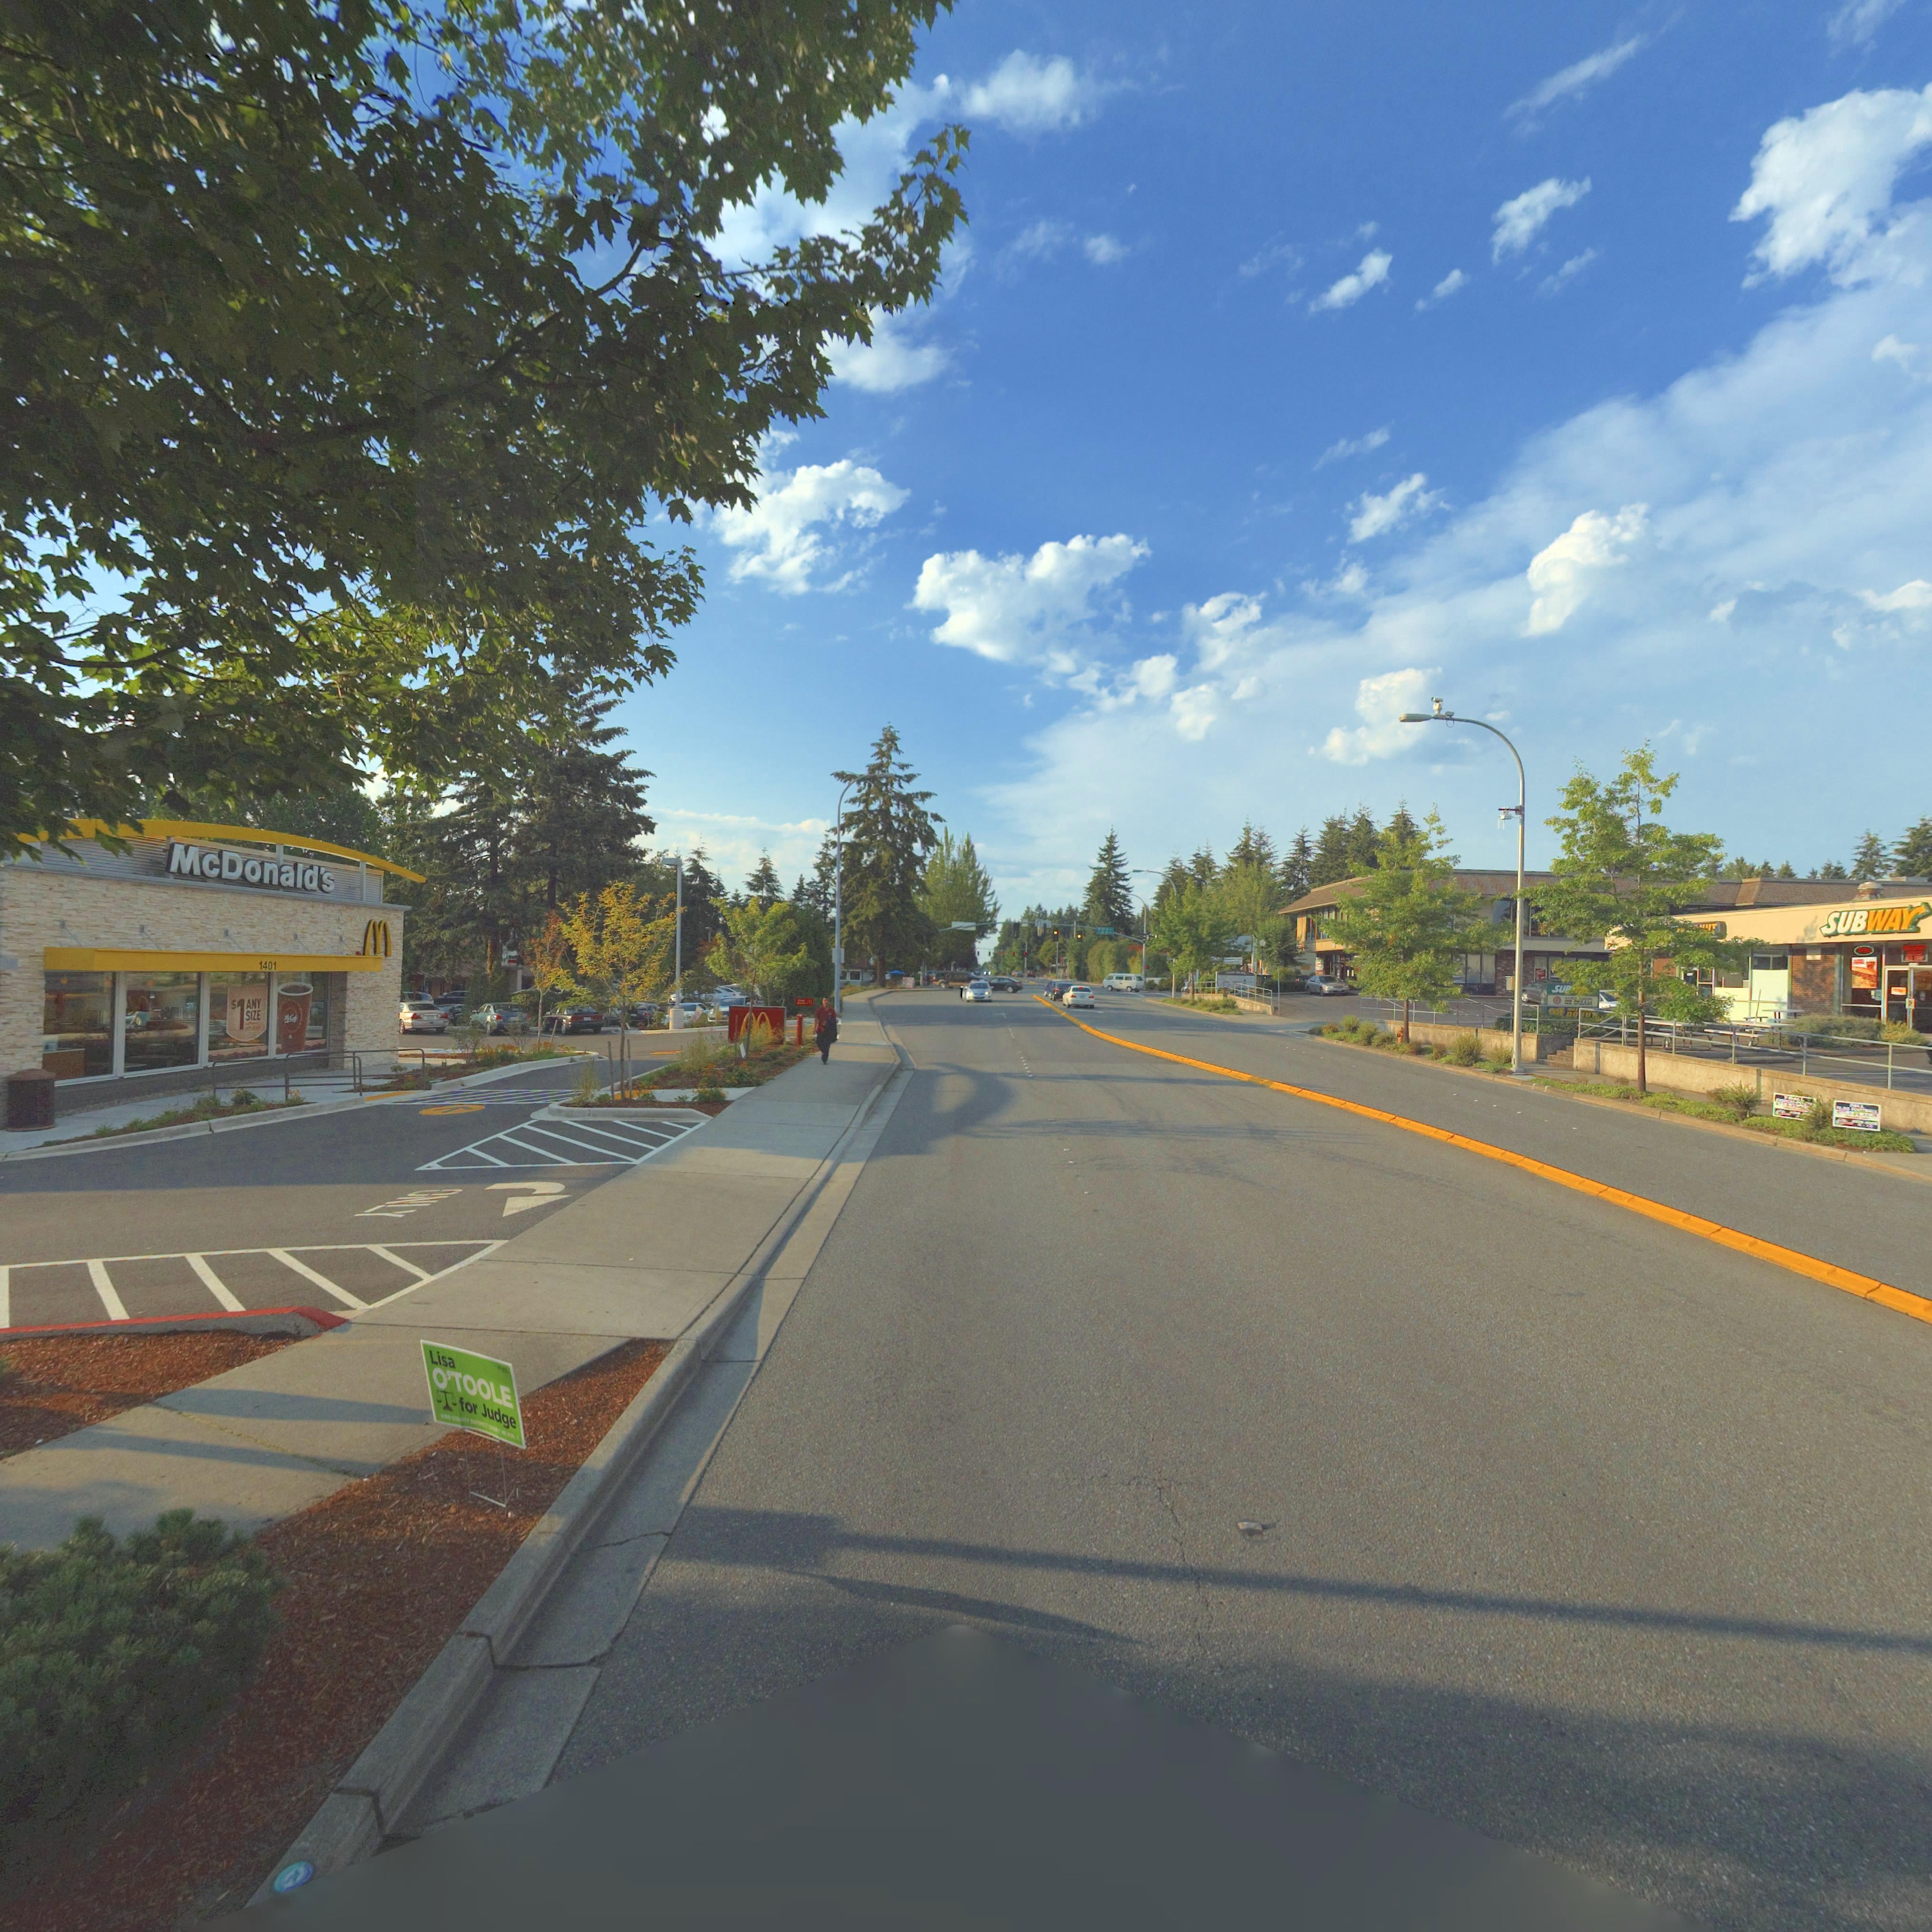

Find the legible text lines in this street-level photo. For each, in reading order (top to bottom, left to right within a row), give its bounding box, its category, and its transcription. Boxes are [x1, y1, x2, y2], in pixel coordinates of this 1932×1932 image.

[166, 841, 336, 893] BusinessName: McDonald*s
[1818, 905, 1927, 936] BusinessName: SUBWAY
[259, 961, 277, 971] StreetNumber: 1401